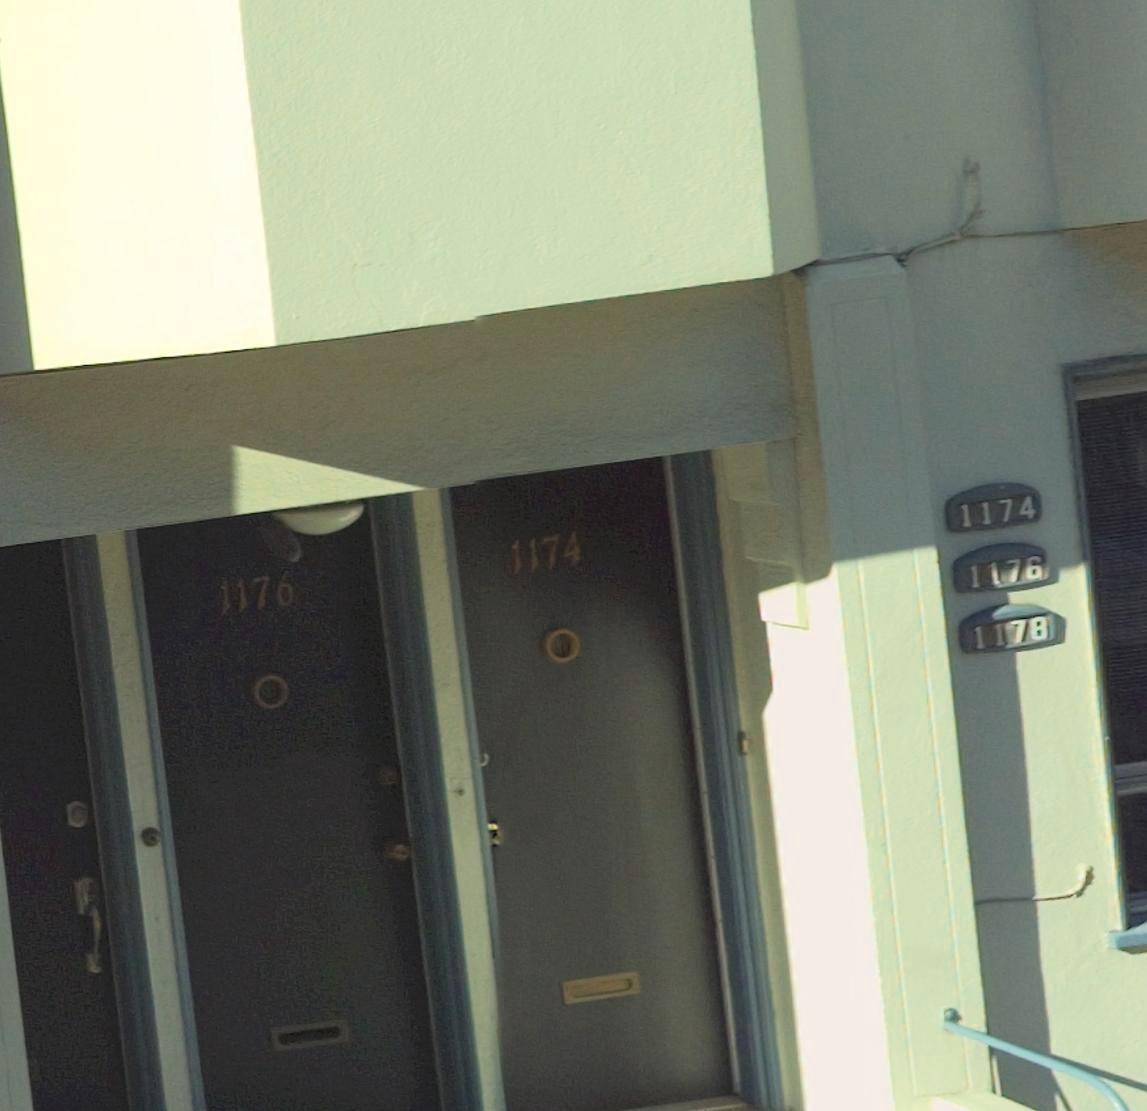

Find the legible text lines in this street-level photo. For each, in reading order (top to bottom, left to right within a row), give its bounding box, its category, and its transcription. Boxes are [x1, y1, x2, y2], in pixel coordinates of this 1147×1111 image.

[957, 494, 1039, 529] StreetNumber: 1174
[508, 528, 587, 581] StreetNumber: 1174
[966, 553, 1046, 590] StreetNumber: 1176
[216, 566, 295, 620] StreetNumber: 1176
[971, 613, 1051, 652] StreetNumber: 1178